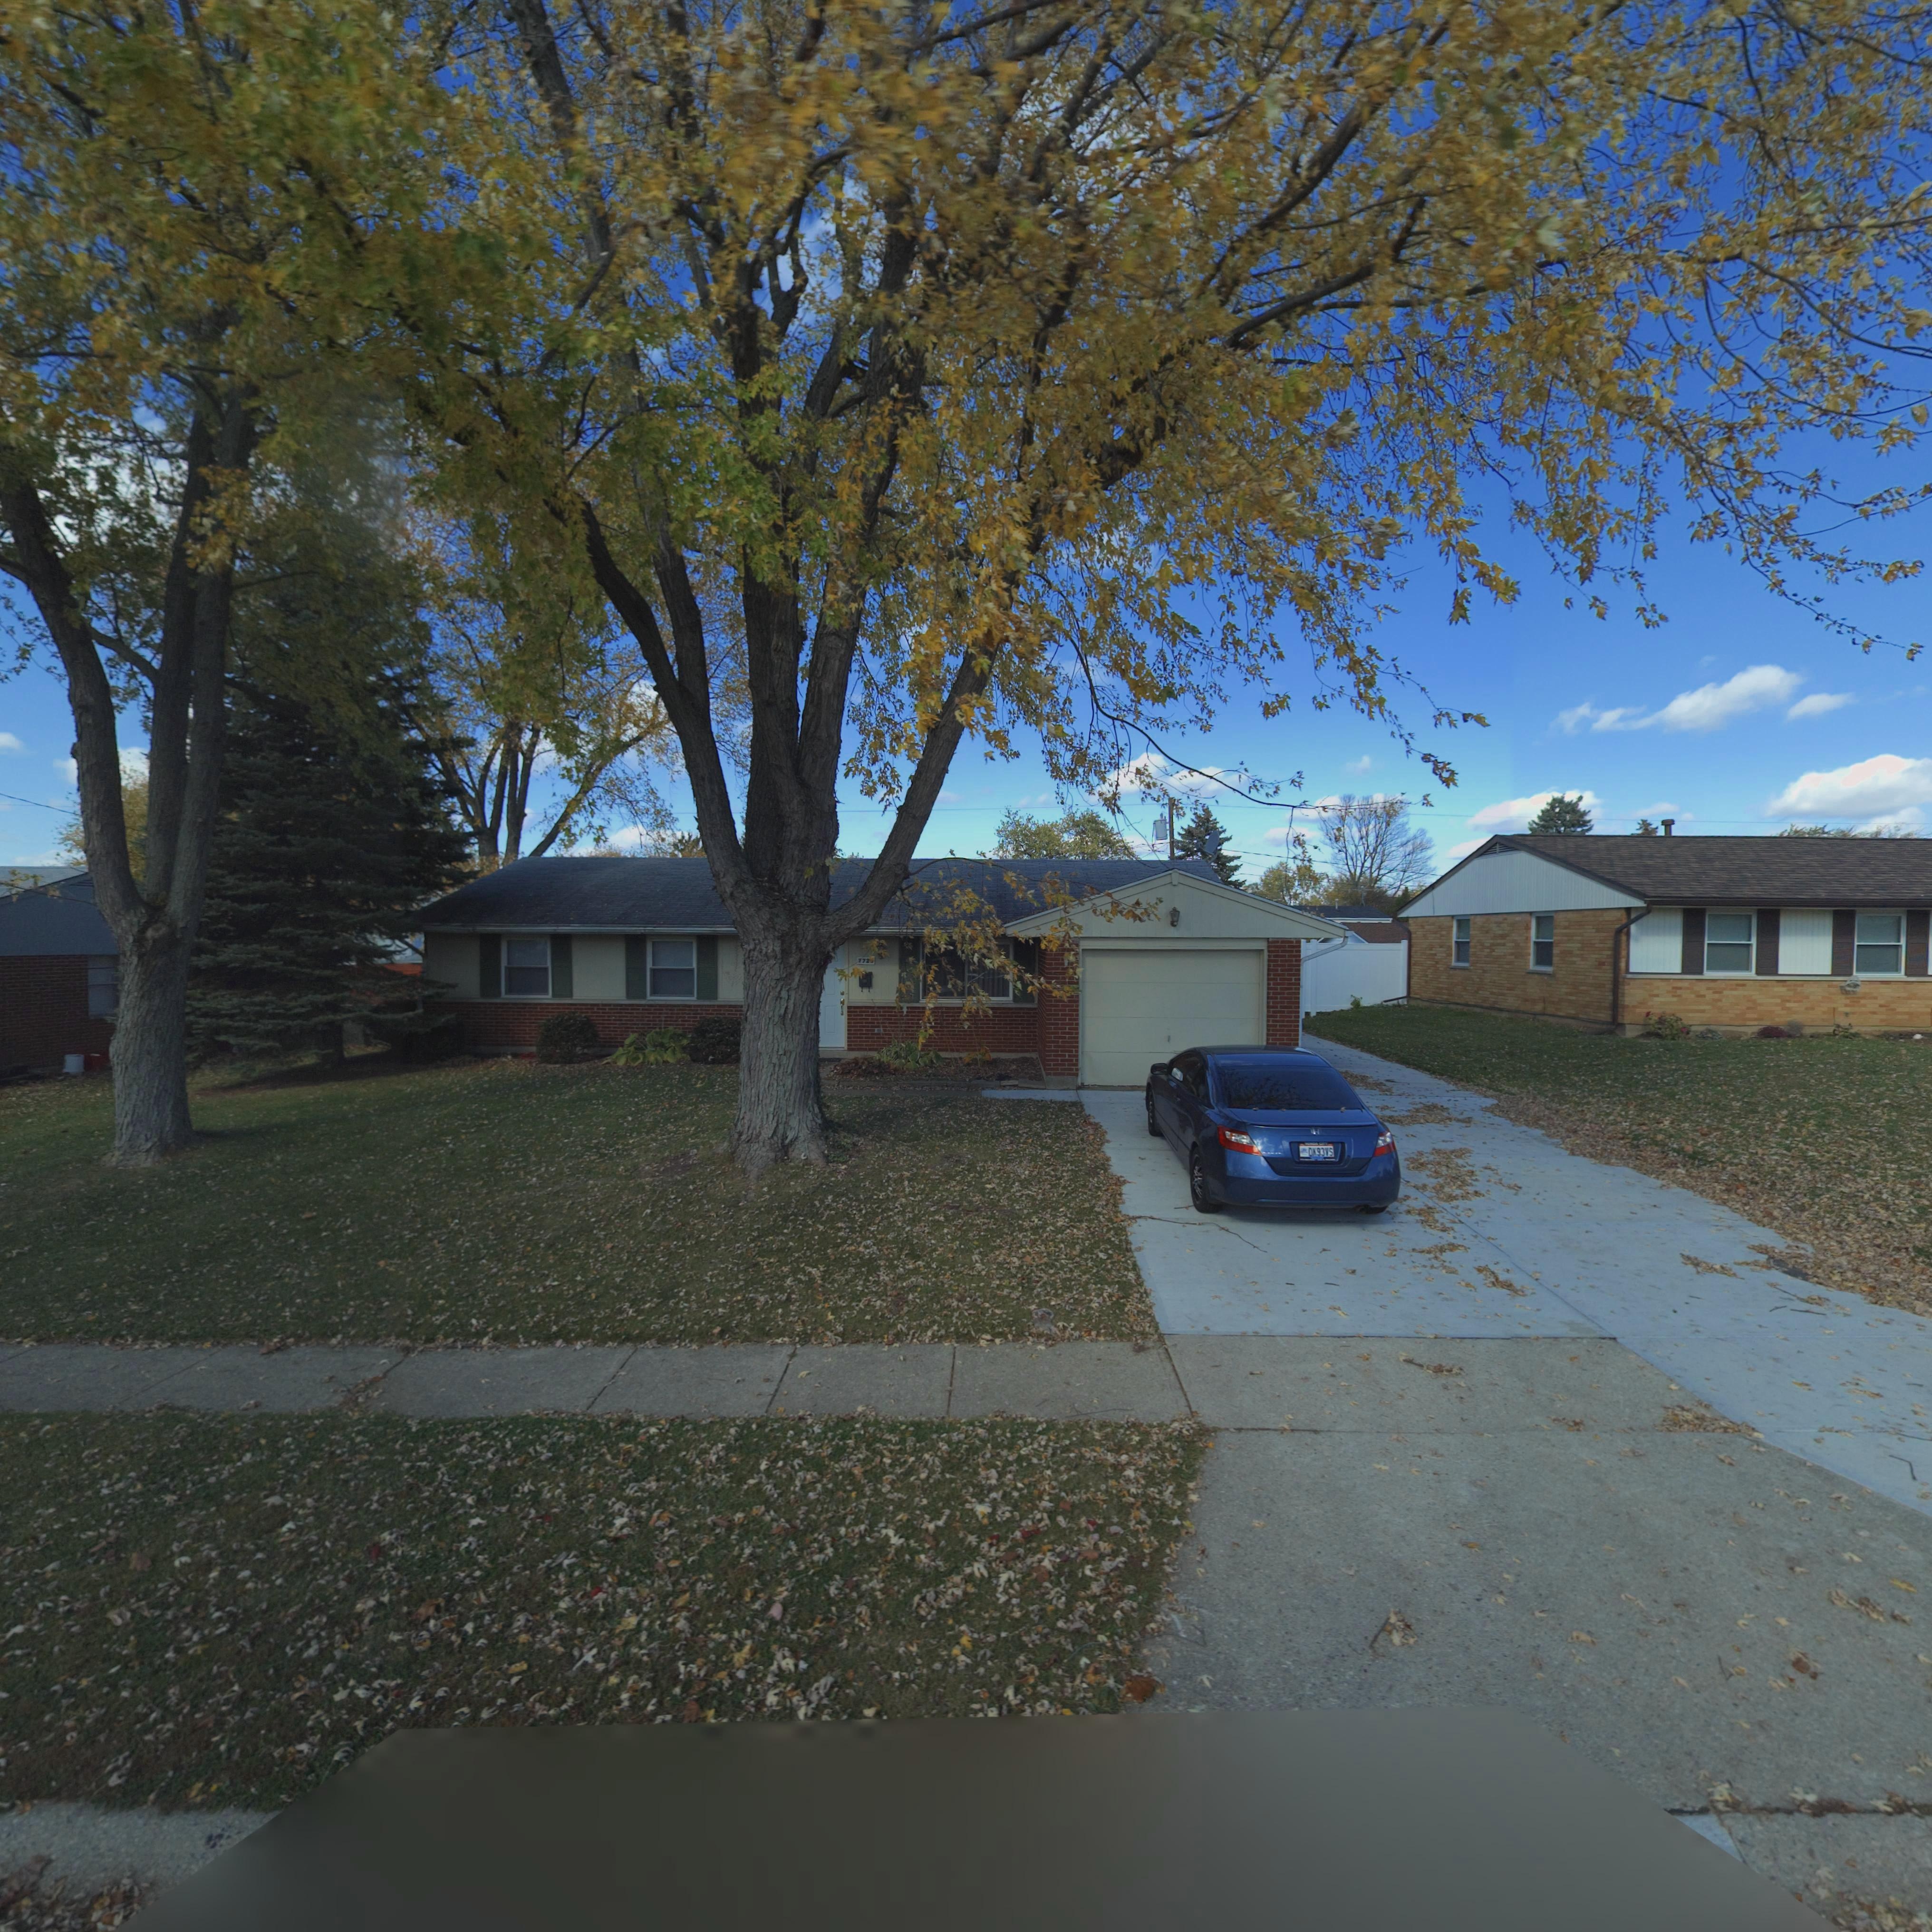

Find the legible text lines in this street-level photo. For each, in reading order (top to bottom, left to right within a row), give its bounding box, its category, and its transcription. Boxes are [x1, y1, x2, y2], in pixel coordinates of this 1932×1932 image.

[857, 957, 869, 964] StreetNumber: 772